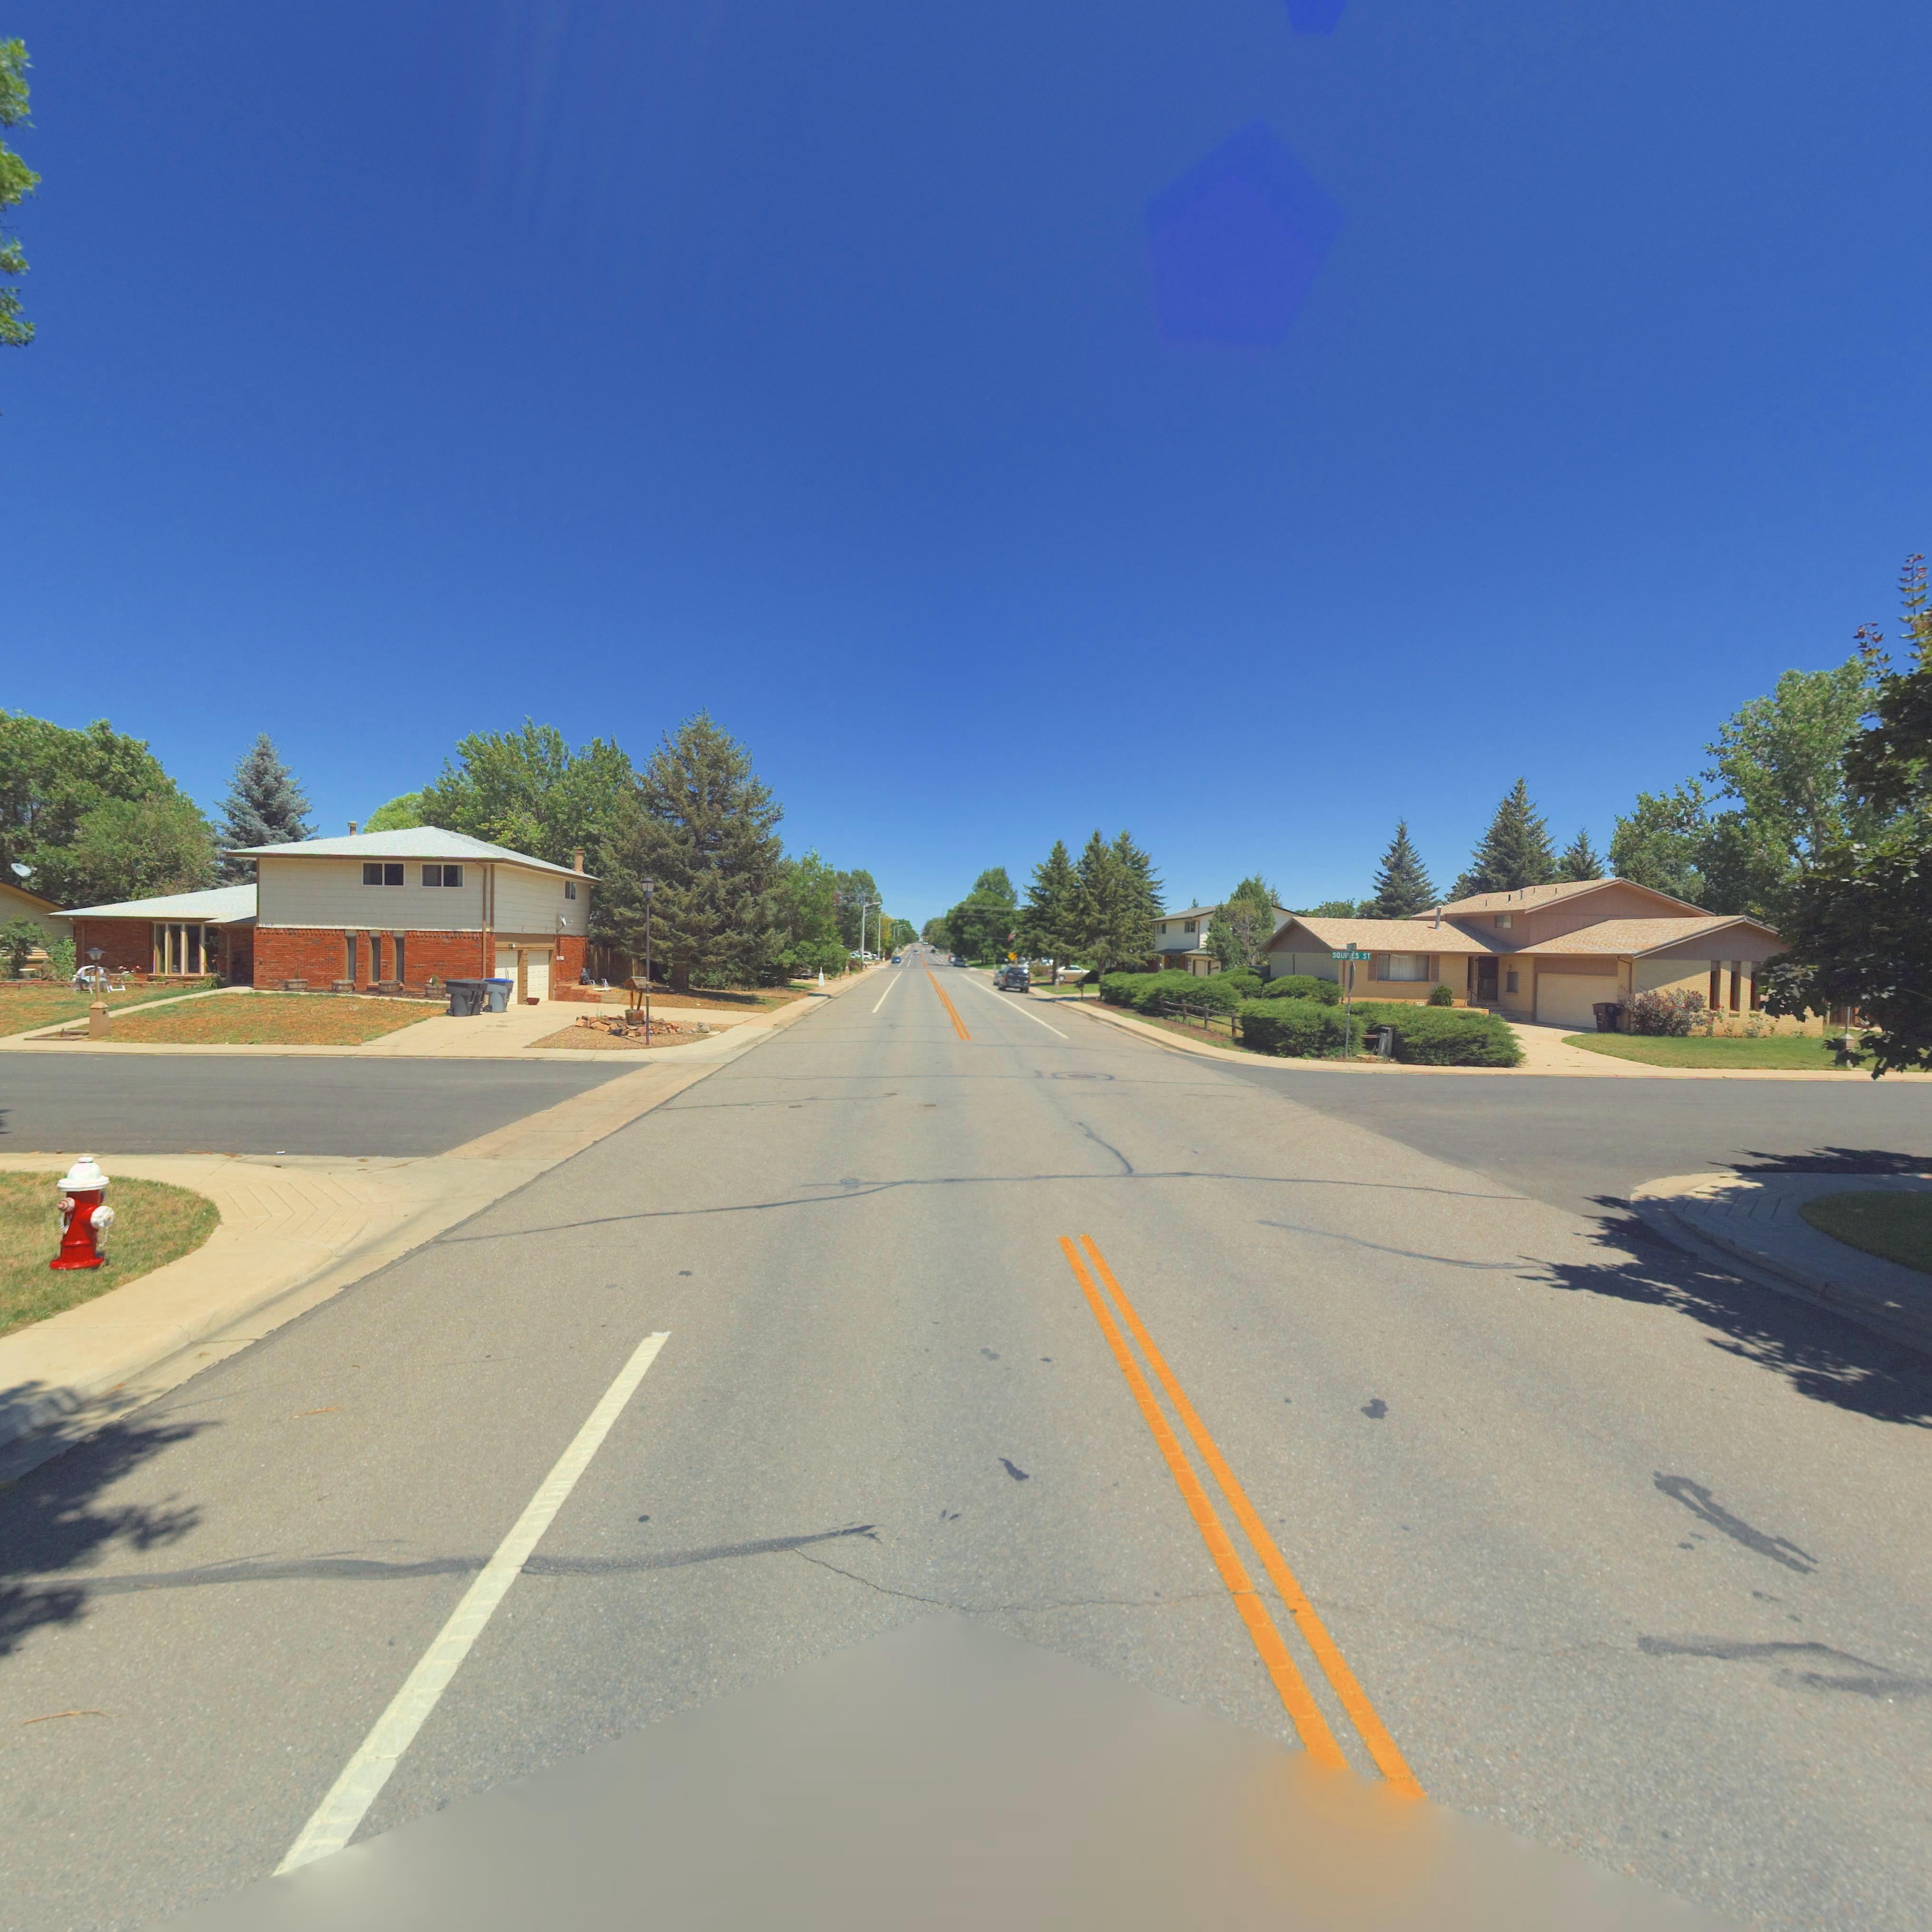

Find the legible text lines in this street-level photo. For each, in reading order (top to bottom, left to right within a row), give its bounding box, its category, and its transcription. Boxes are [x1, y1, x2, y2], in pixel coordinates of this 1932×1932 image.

[1332, 952, 1371, 959] StreetName: SQUIRES ST
[1474, 963, 1478, 981] StreetNumber: **44